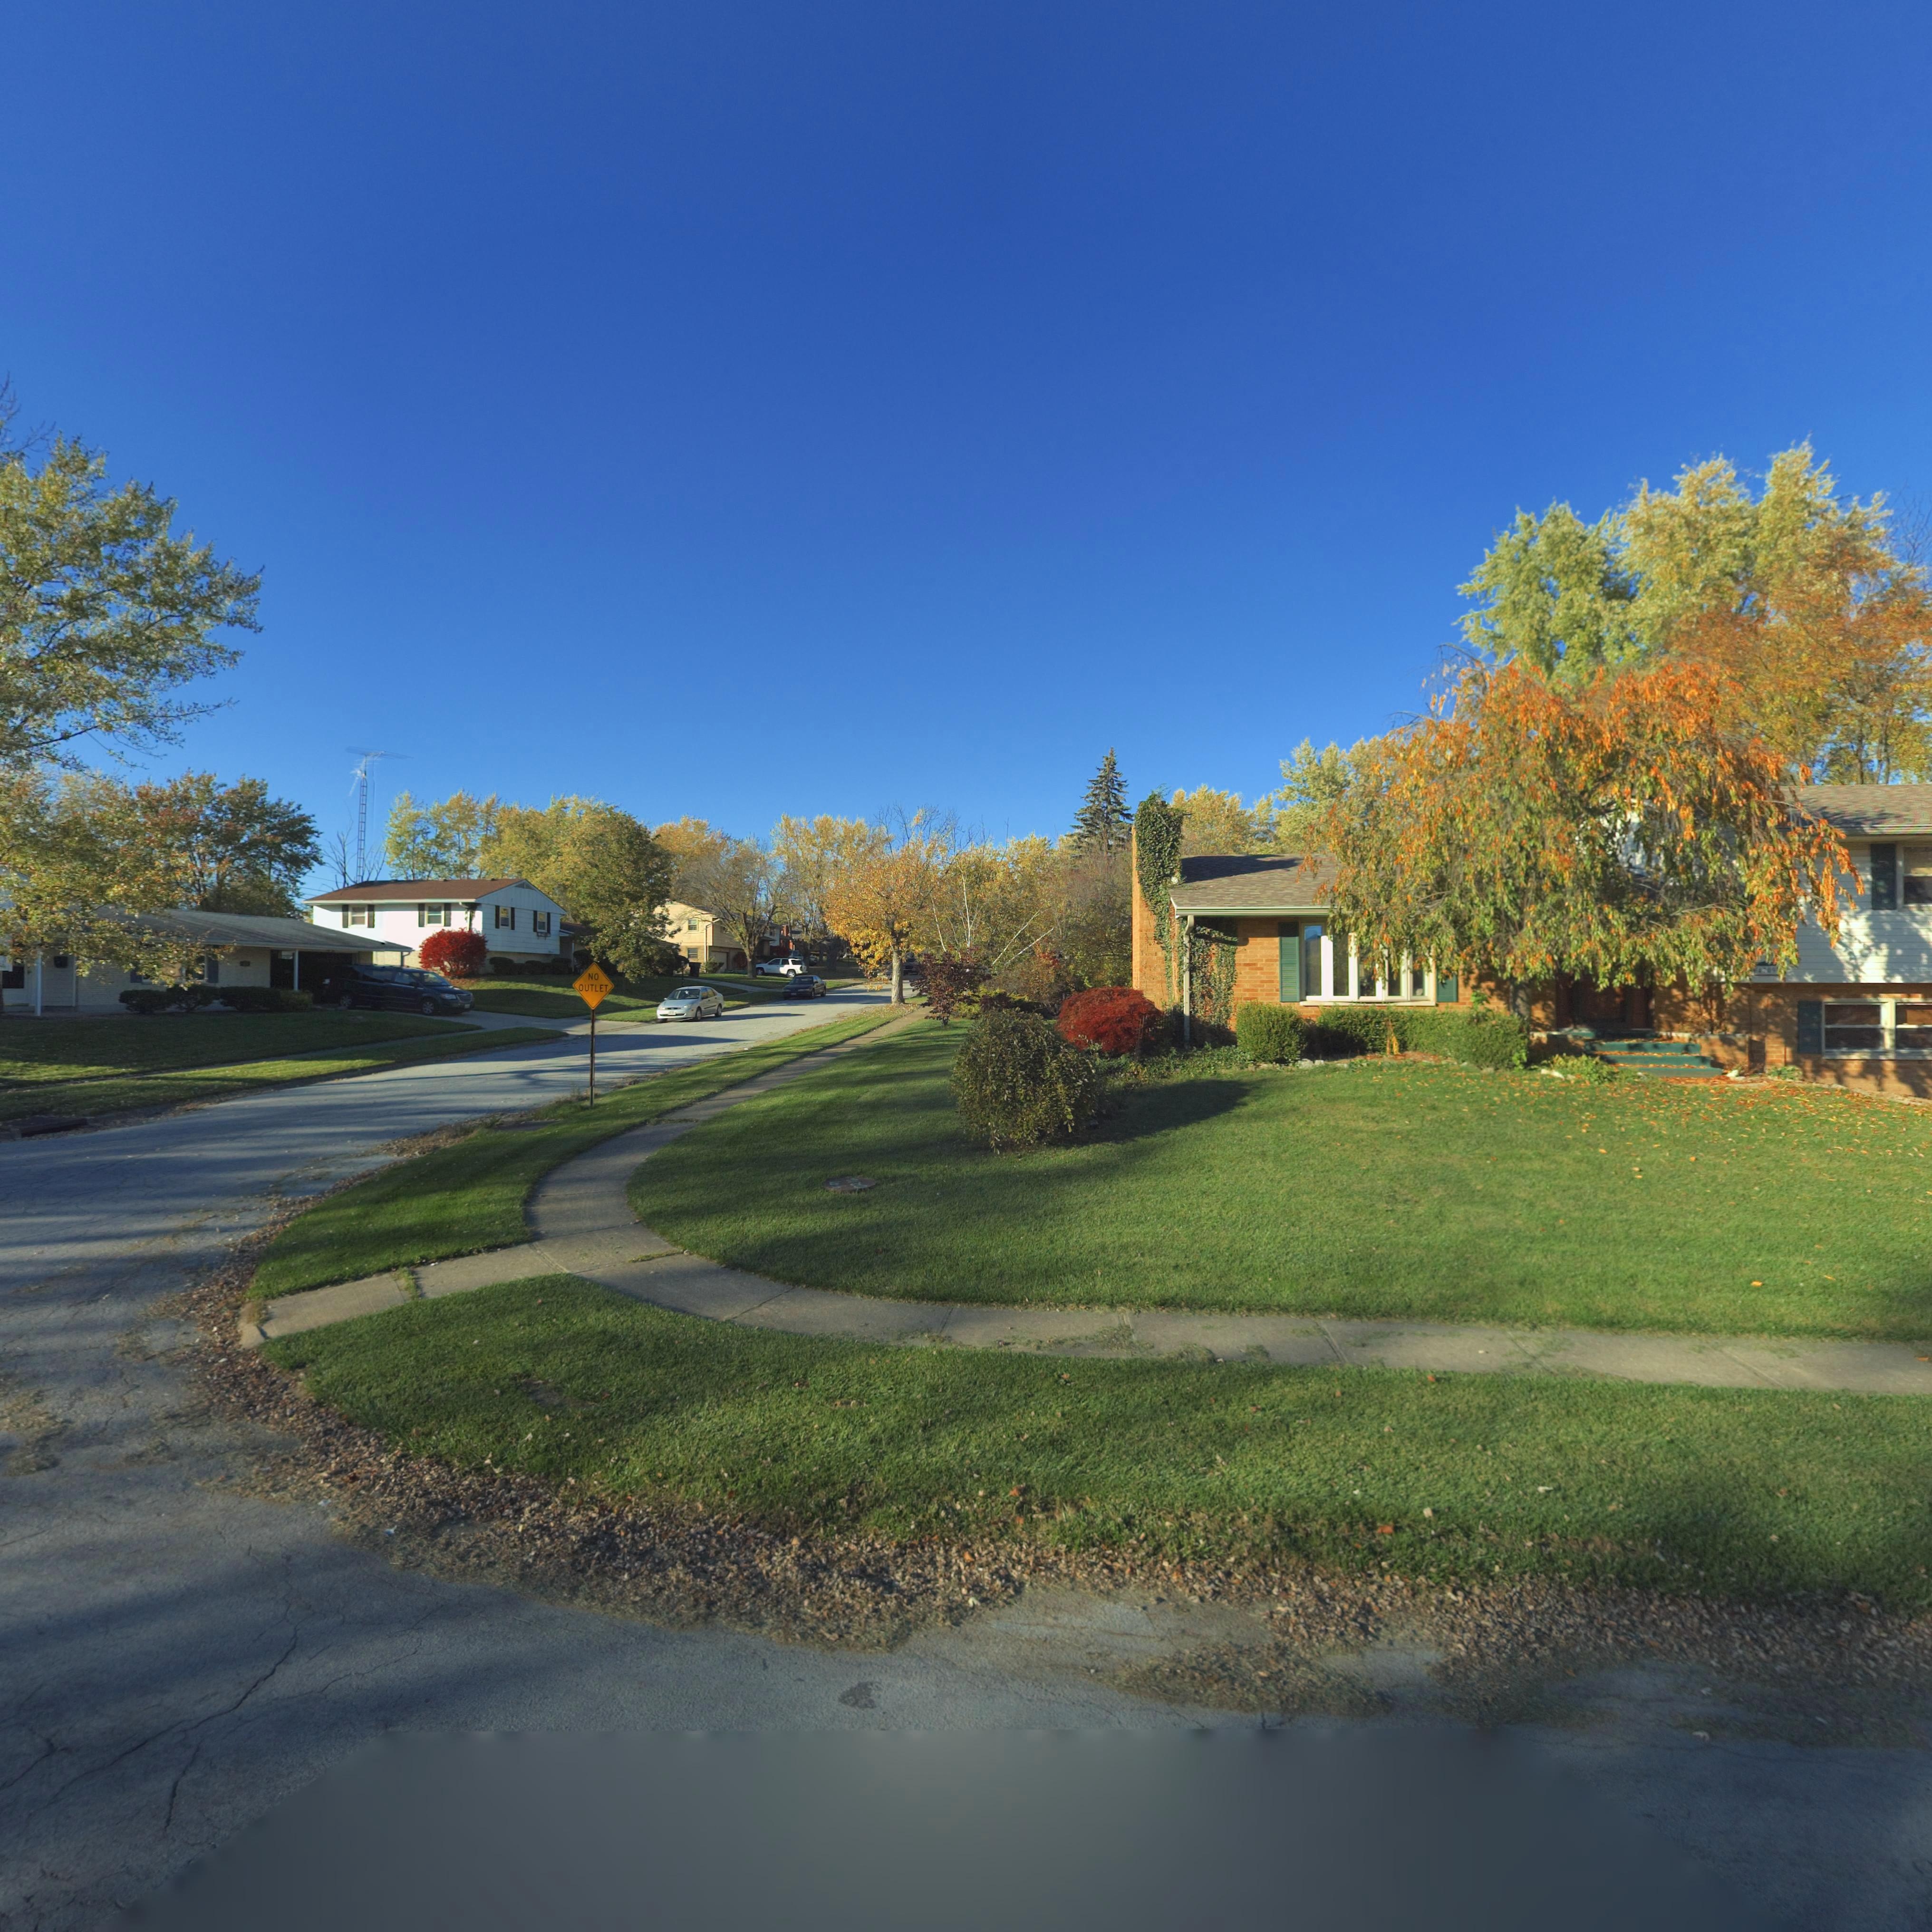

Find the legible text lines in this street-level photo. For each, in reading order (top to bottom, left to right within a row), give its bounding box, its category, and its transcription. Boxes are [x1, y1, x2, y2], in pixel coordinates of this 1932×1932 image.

[1757, 966, 1777, 975] StreetNumber: *70*